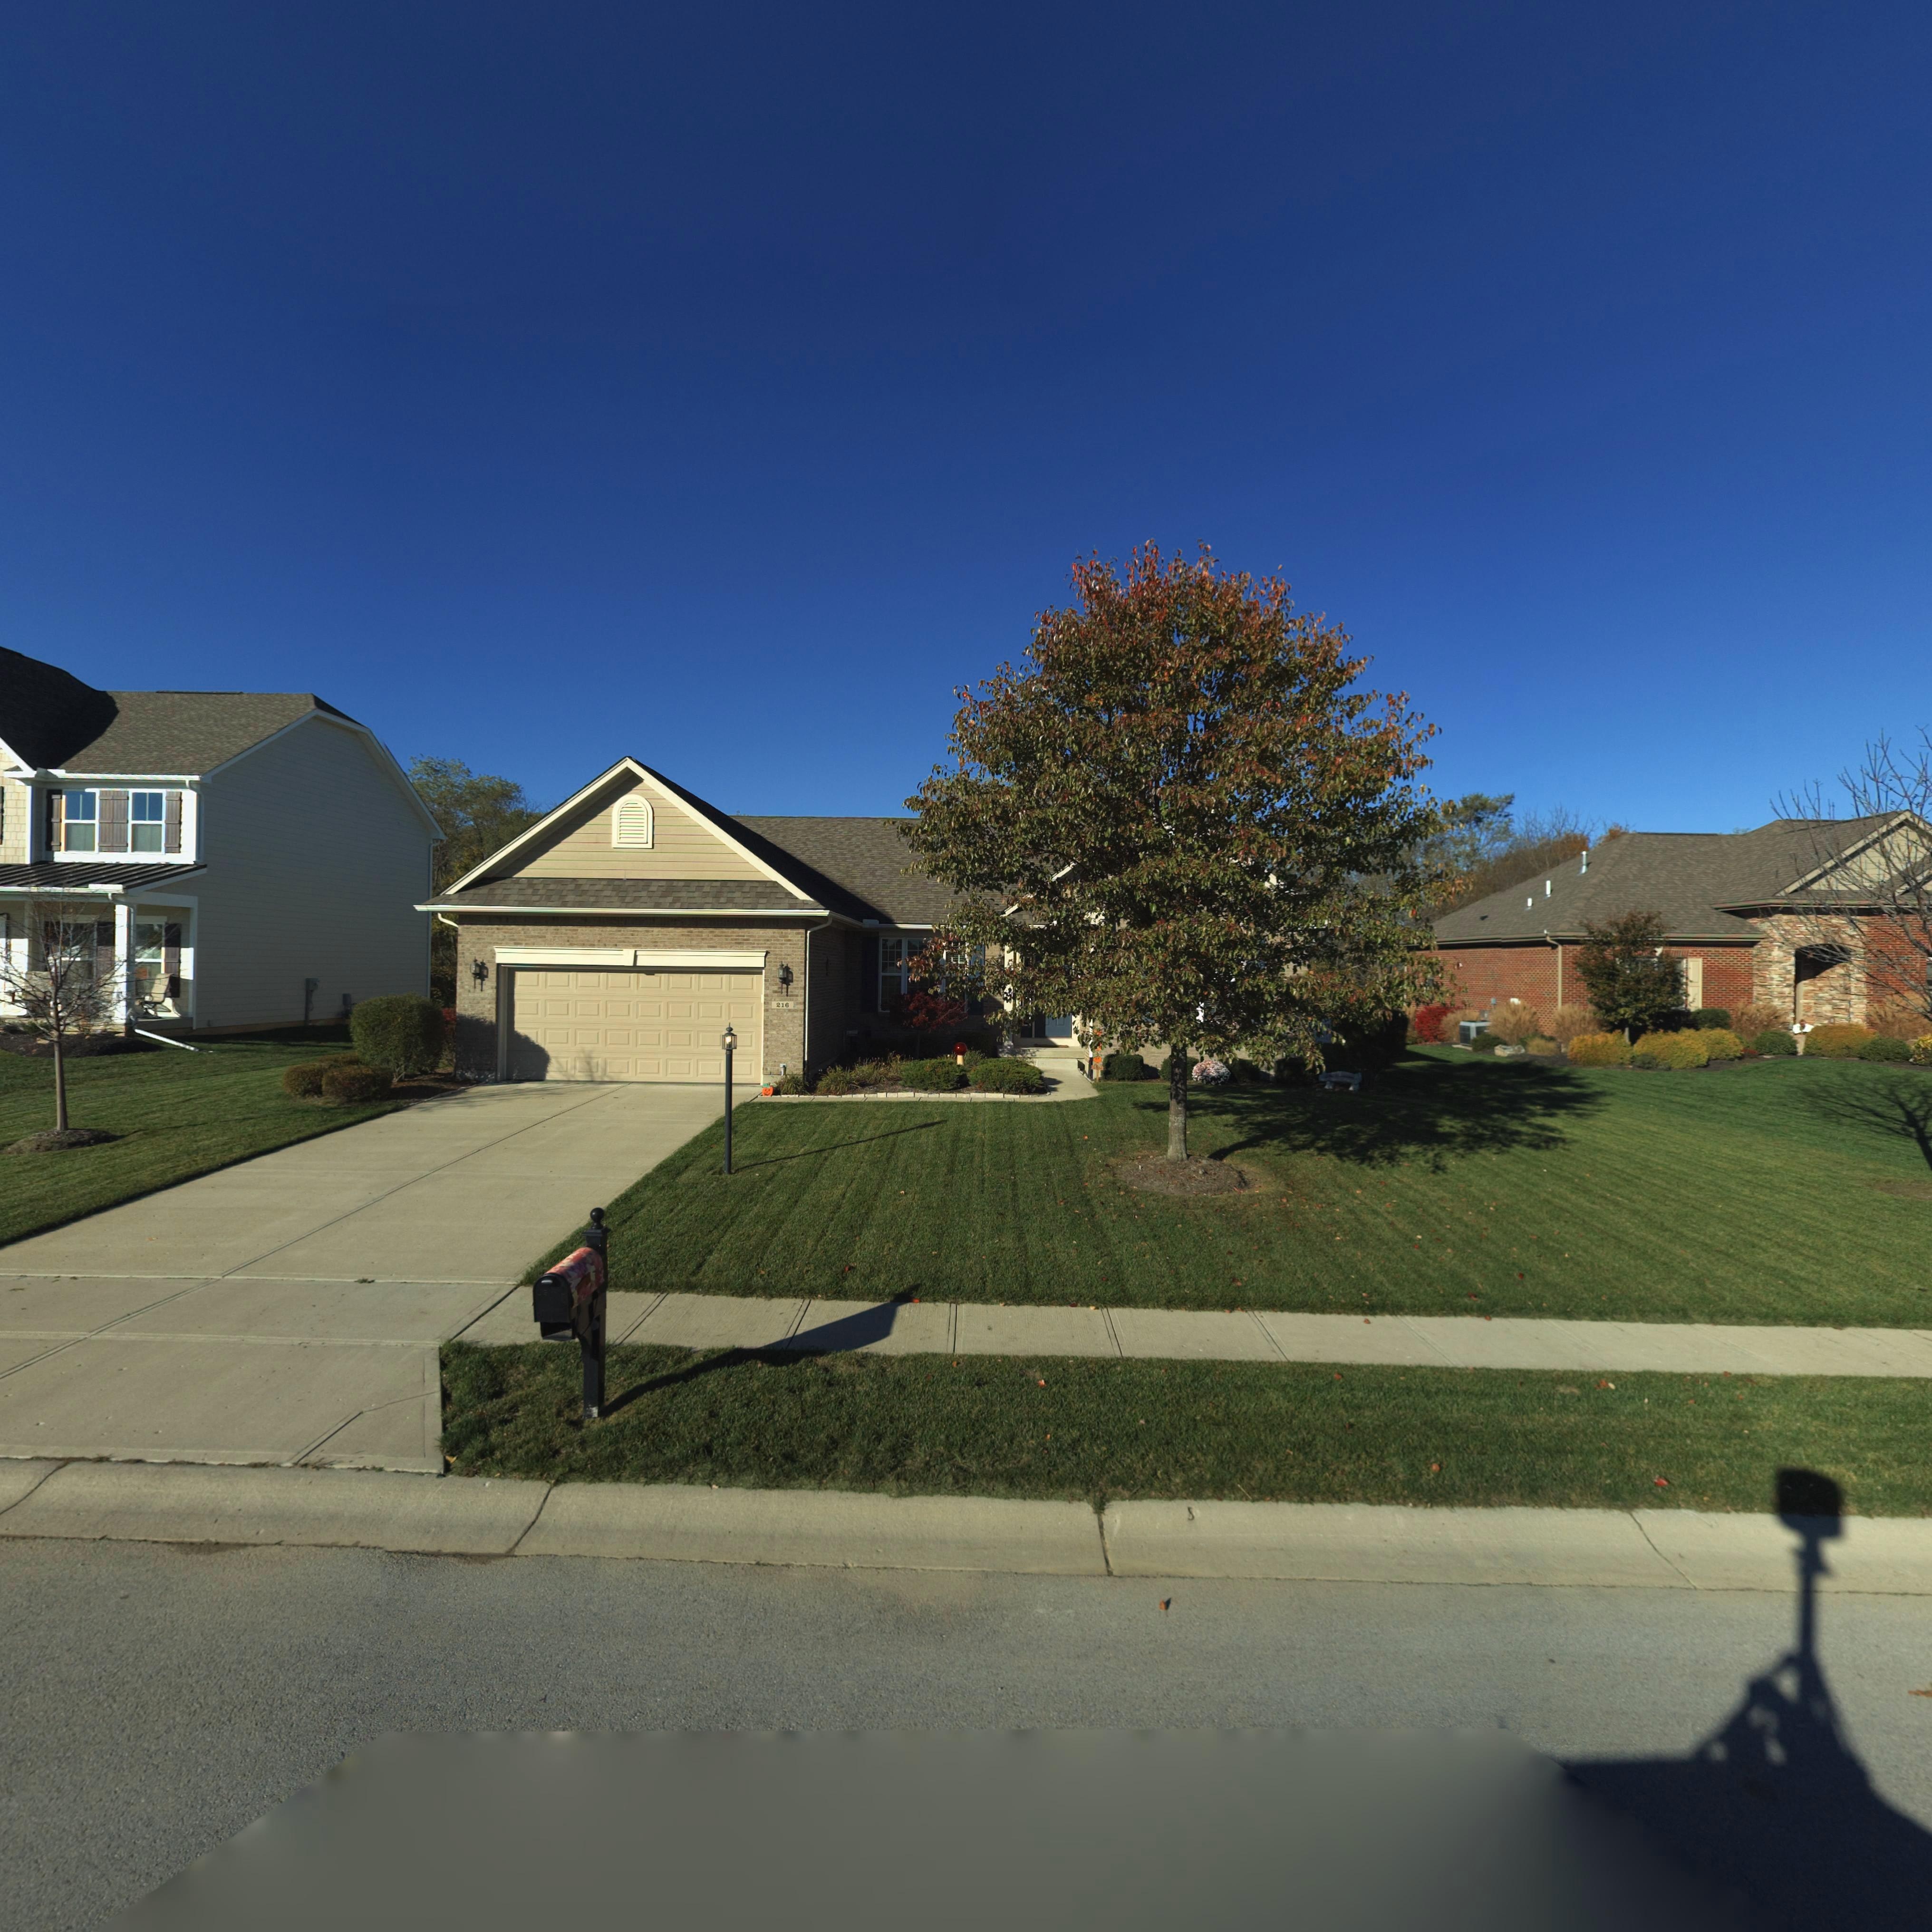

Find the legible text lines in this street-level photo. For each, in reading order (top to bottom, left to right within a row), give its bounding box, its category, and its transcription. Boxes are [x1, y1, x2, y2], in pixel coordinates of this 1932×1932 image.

[775, 1002, 790, 1008] StreetNumber: 216